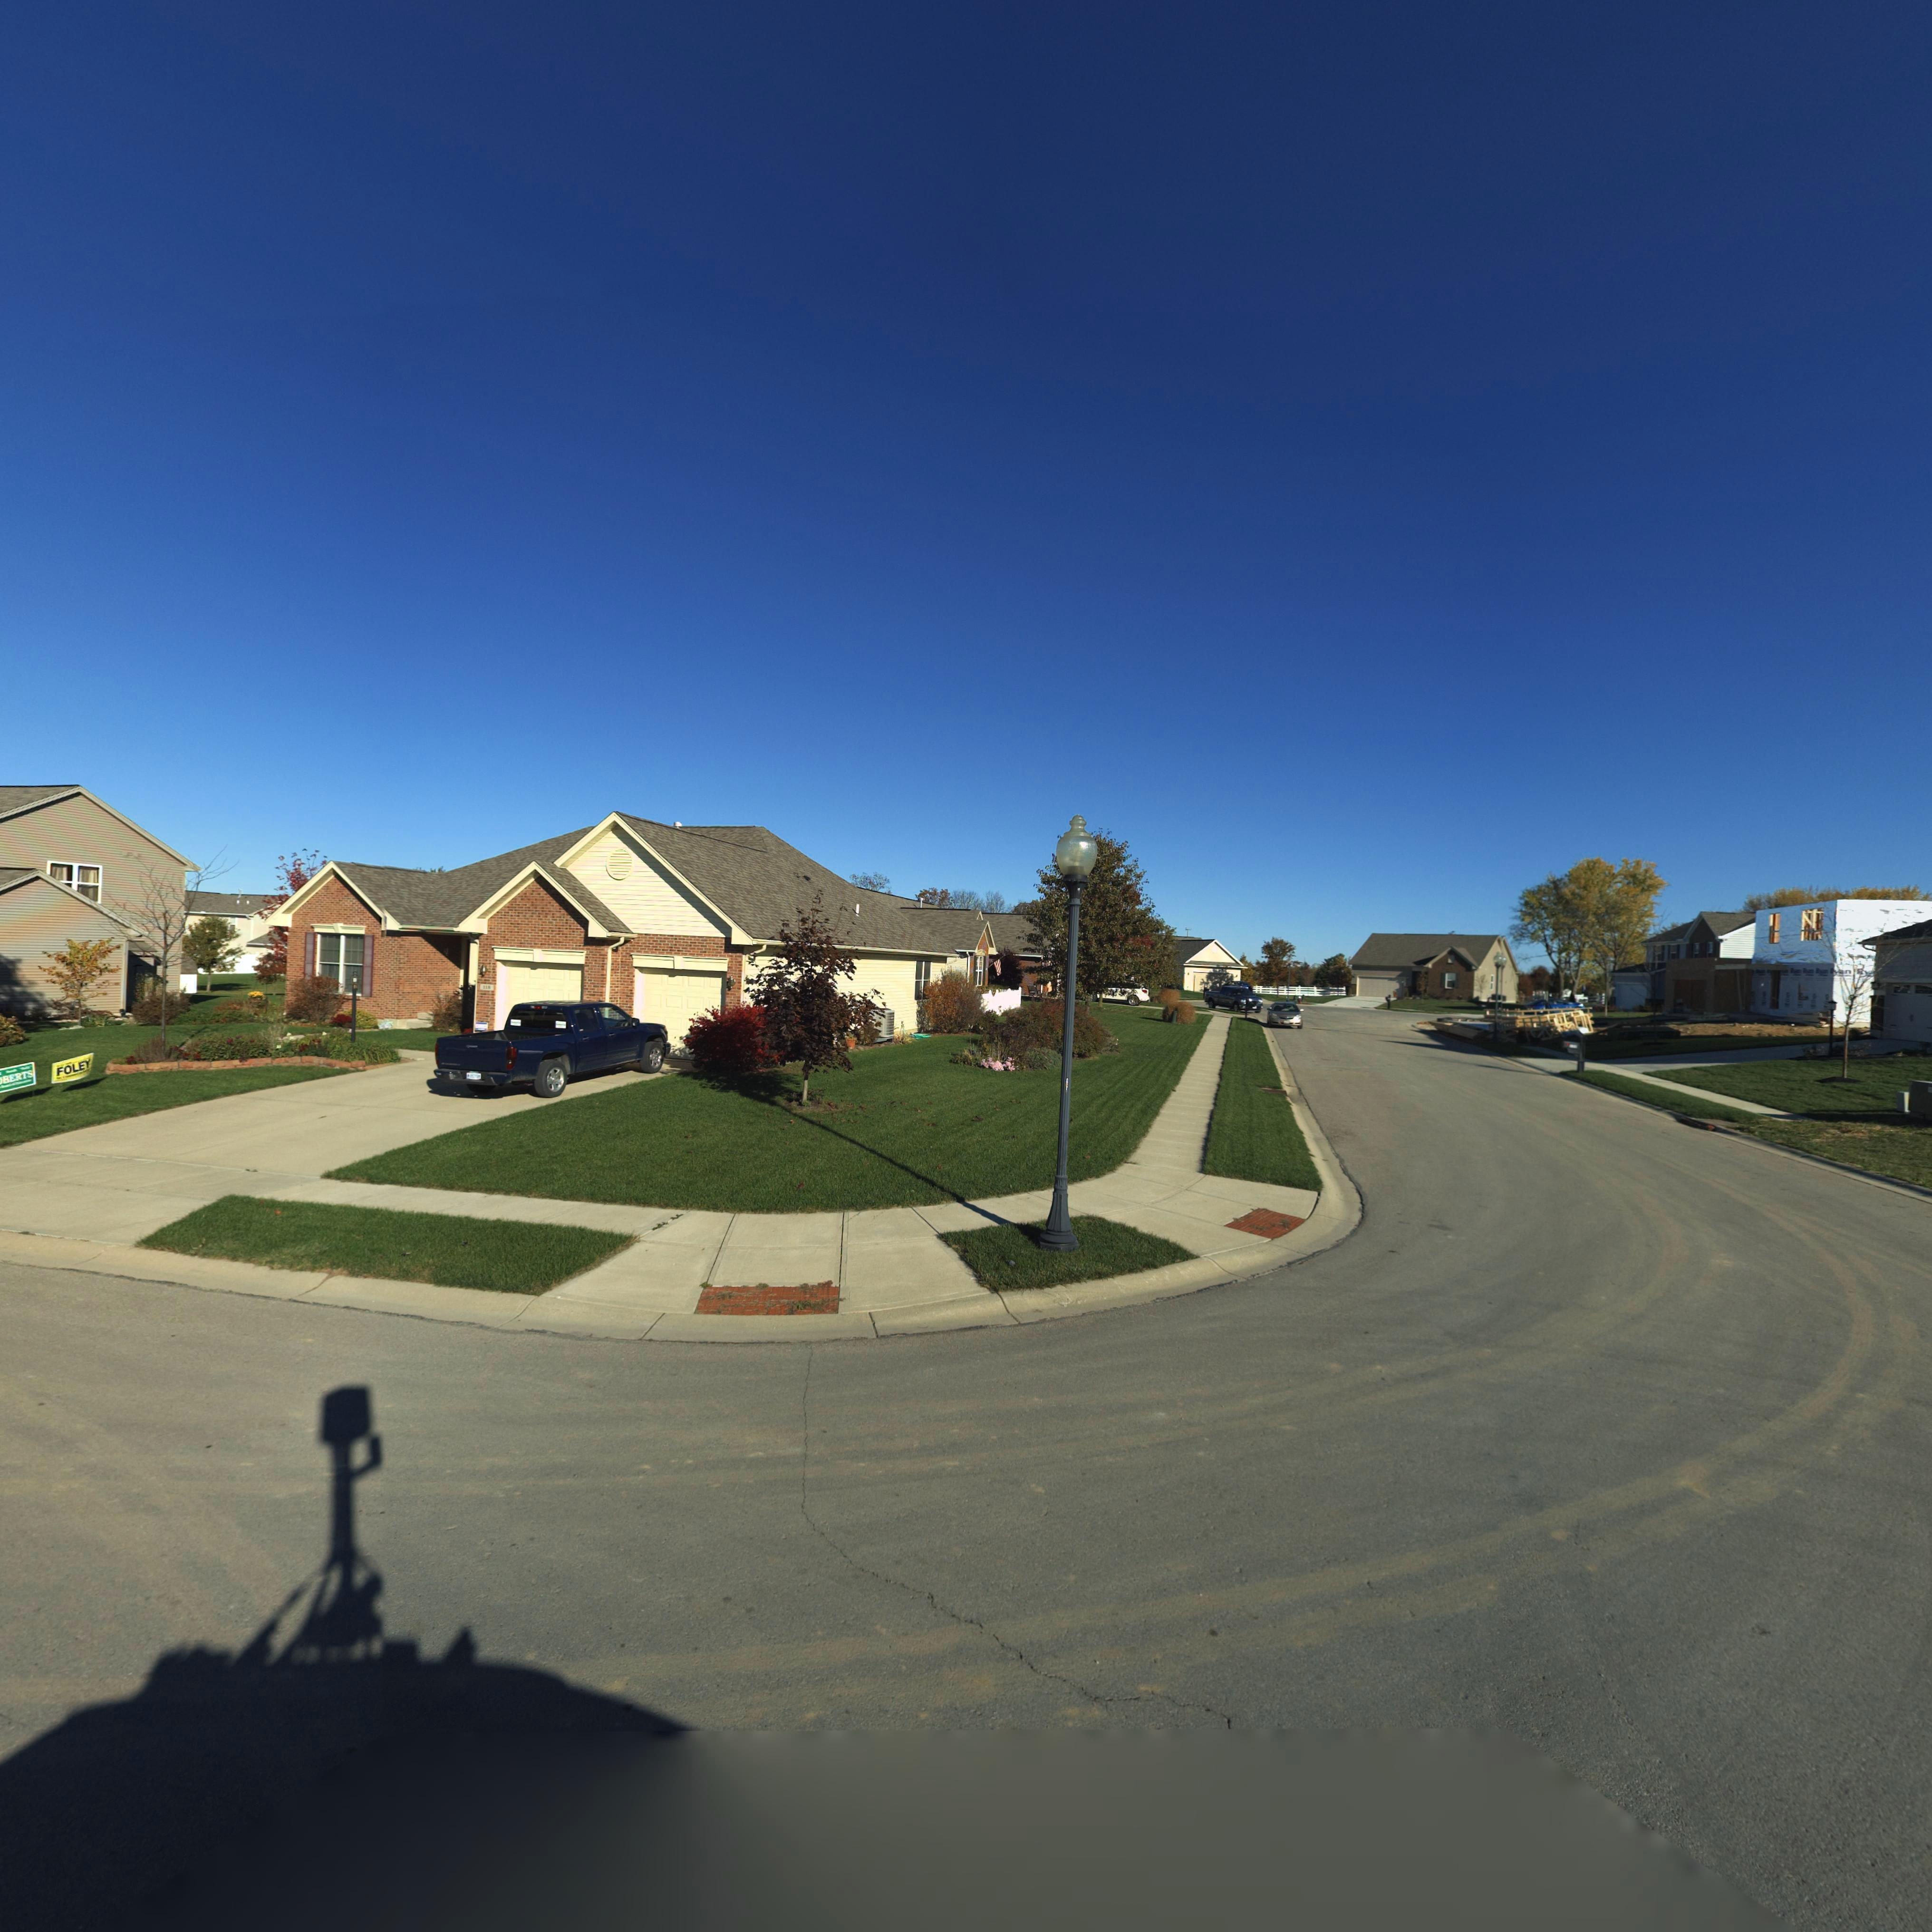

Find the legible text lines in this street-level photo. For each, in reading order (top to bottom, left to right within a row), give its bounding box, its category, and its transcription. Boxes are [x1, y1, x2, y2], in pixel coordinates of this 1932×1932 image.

[483, 985, 491, 989] StreetNumber: 118
[55, 1056, 93, 1079] None: FOLEY
[1, 1068, 33, 1086] None: BERTS